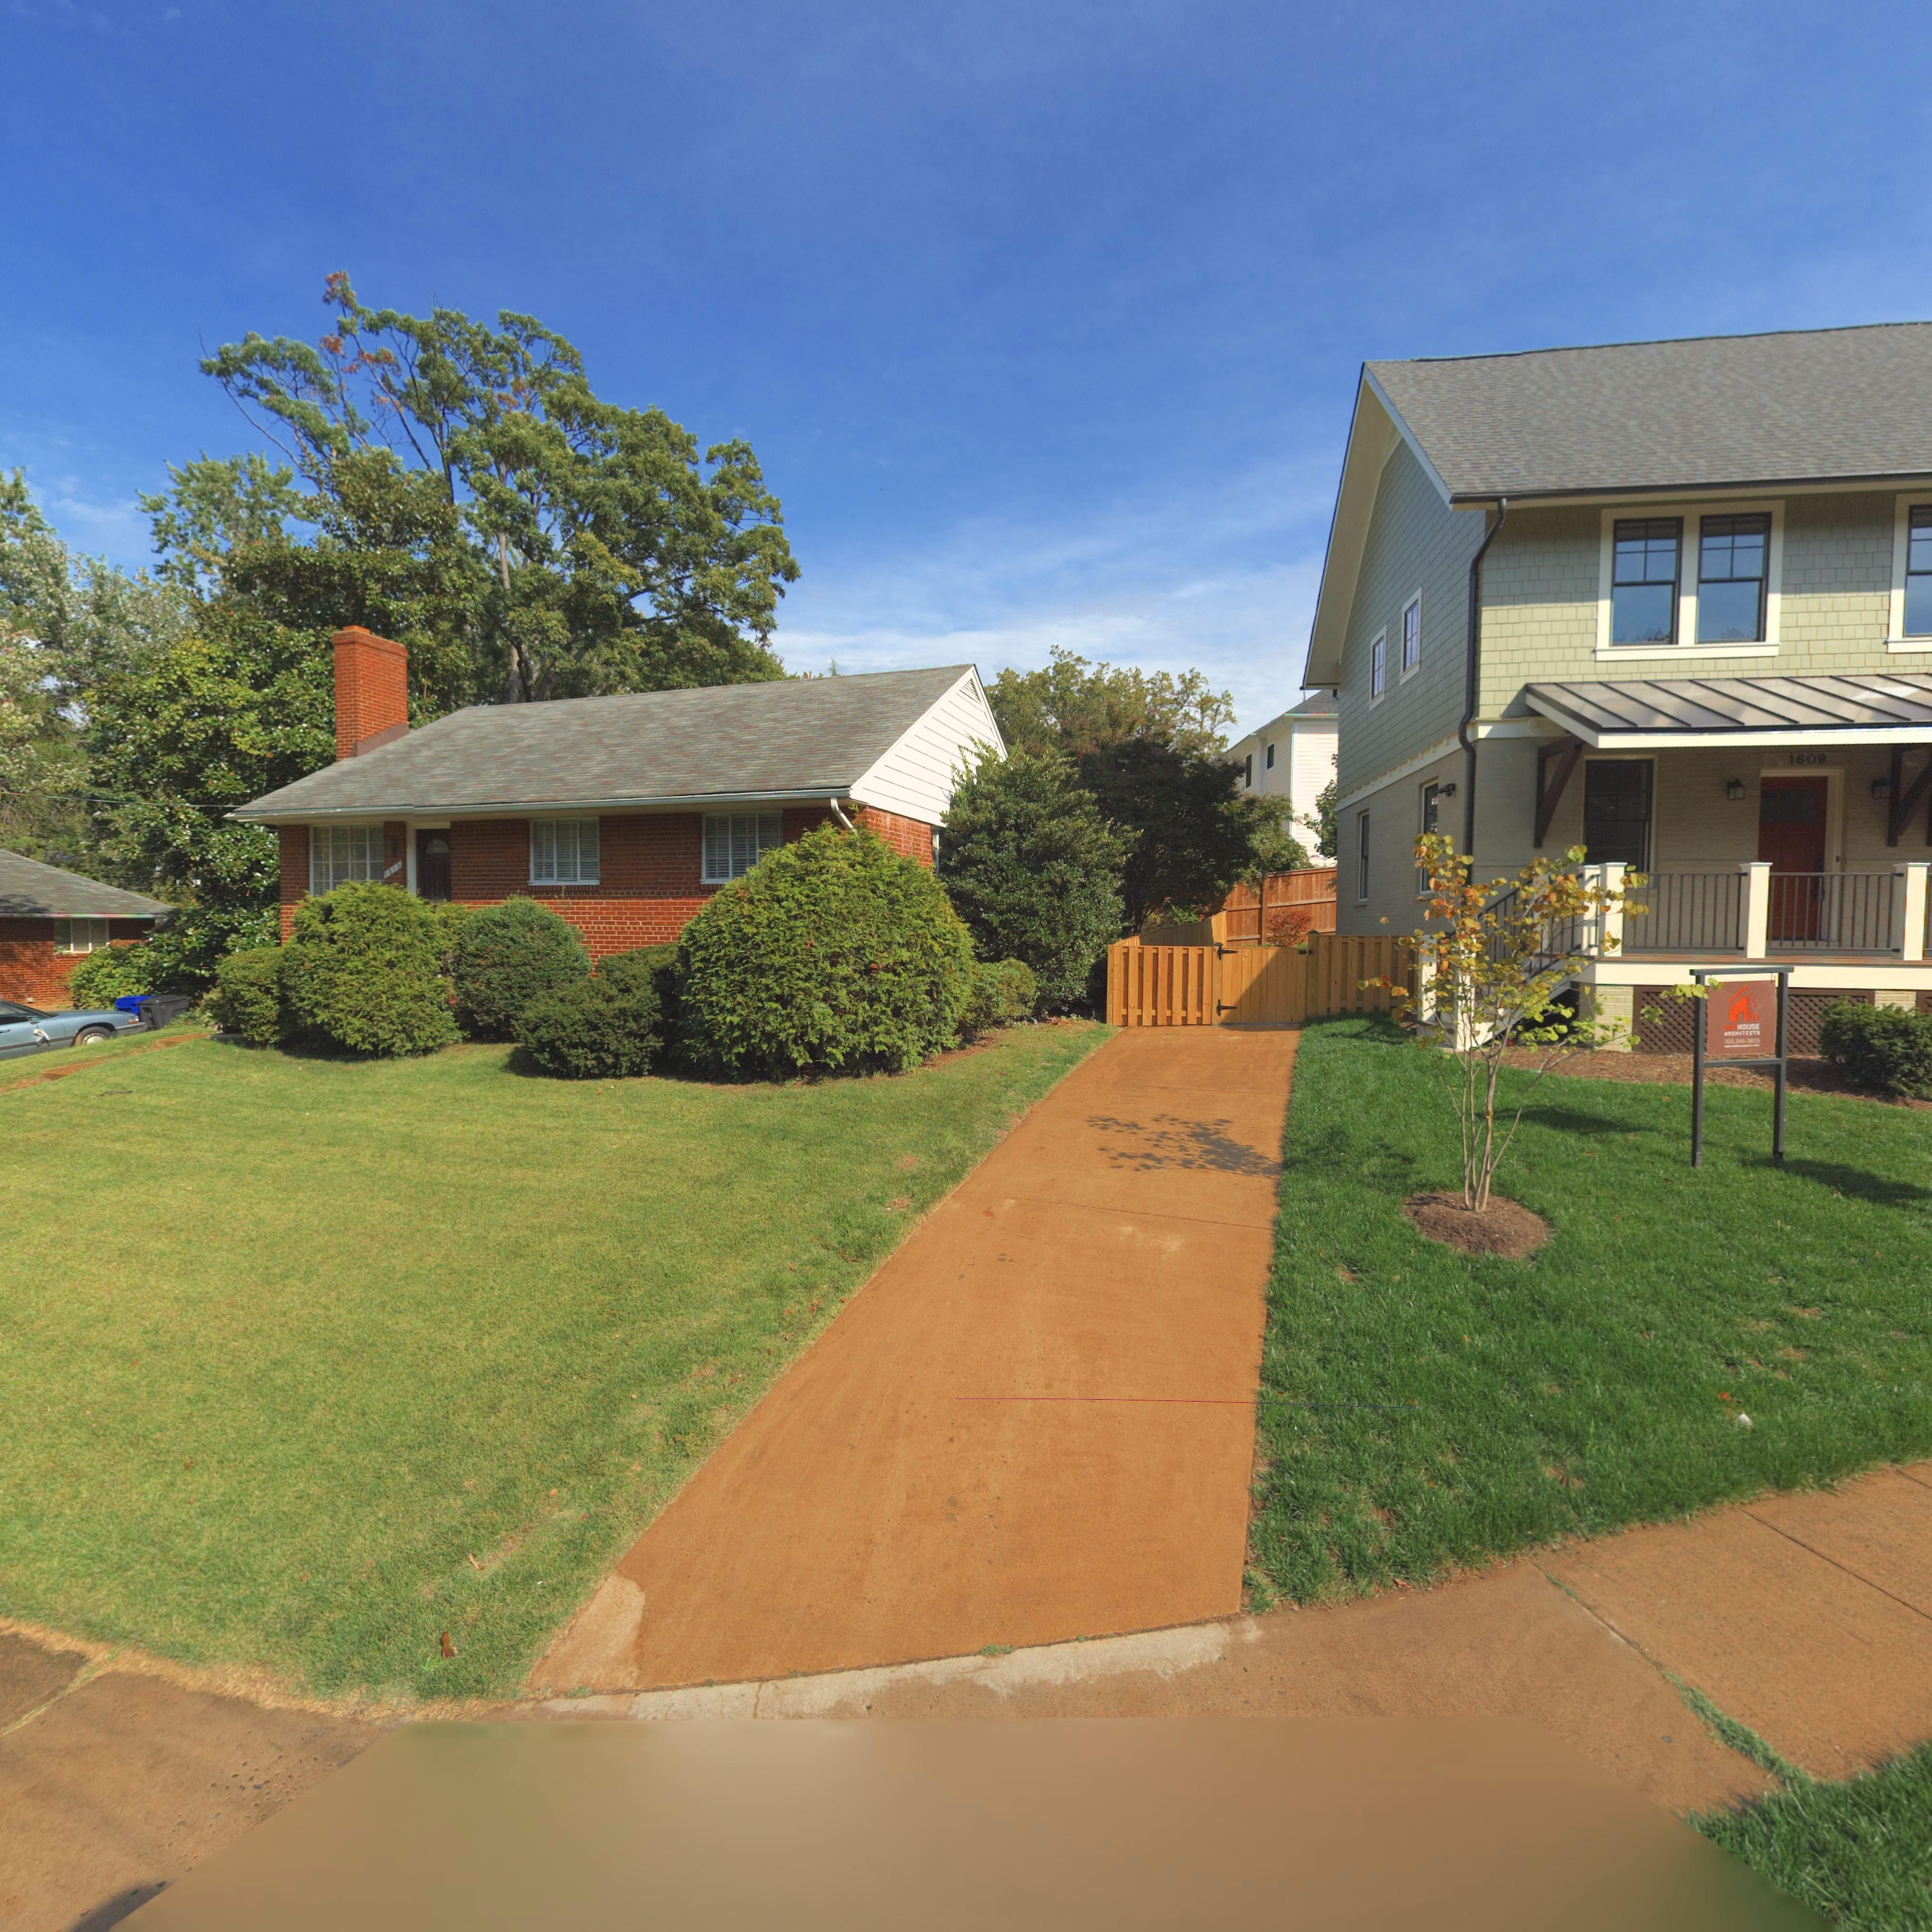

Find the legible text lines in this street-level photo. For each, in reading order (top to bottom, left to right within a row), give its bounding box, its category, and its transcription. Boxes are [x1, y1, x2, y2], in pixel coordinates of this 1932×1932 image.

[1789, 753, 1826, 765] StreetNumber: 1609
[384, 860, 401, 879] StreetNumber: 1615
[1722, 1022, 1761, 1032] None: REDHOUSE